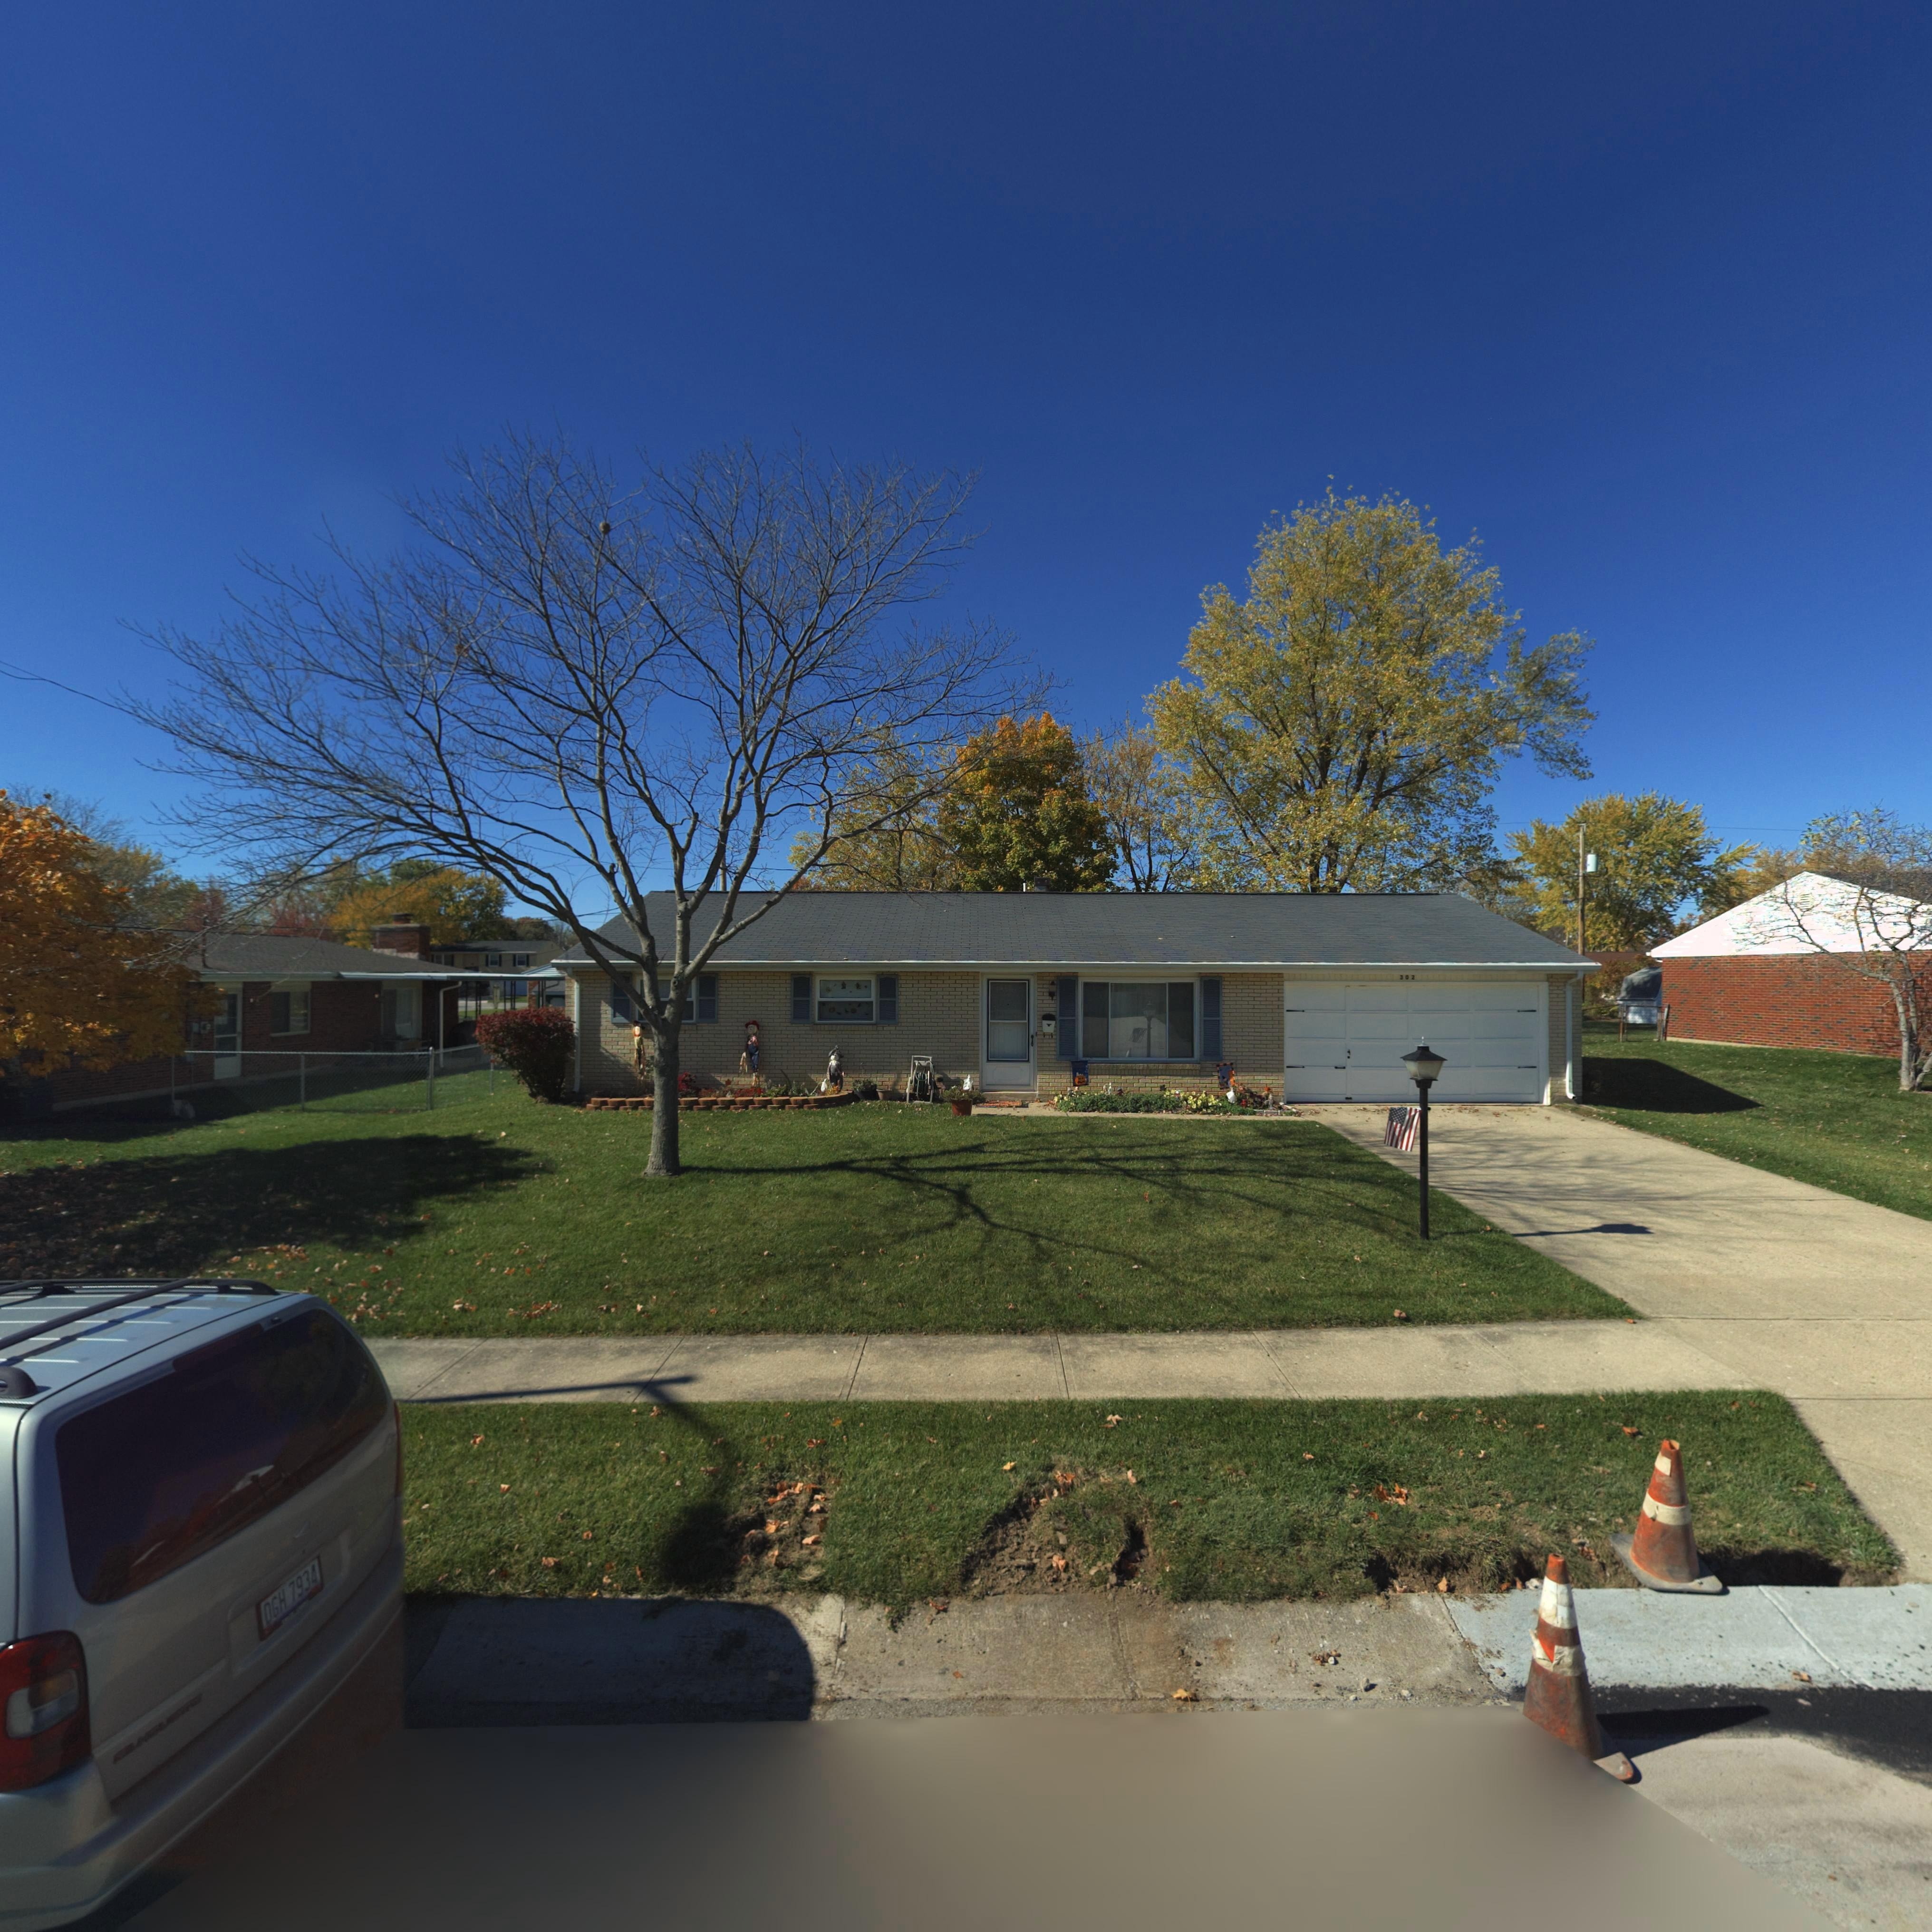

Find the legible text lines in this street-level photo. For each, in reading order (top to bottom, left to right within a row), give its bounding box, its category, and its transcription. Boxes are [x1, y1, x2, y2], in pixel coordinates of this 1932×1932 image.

[1399, 974, 1415, 980] StreetNumber: 302